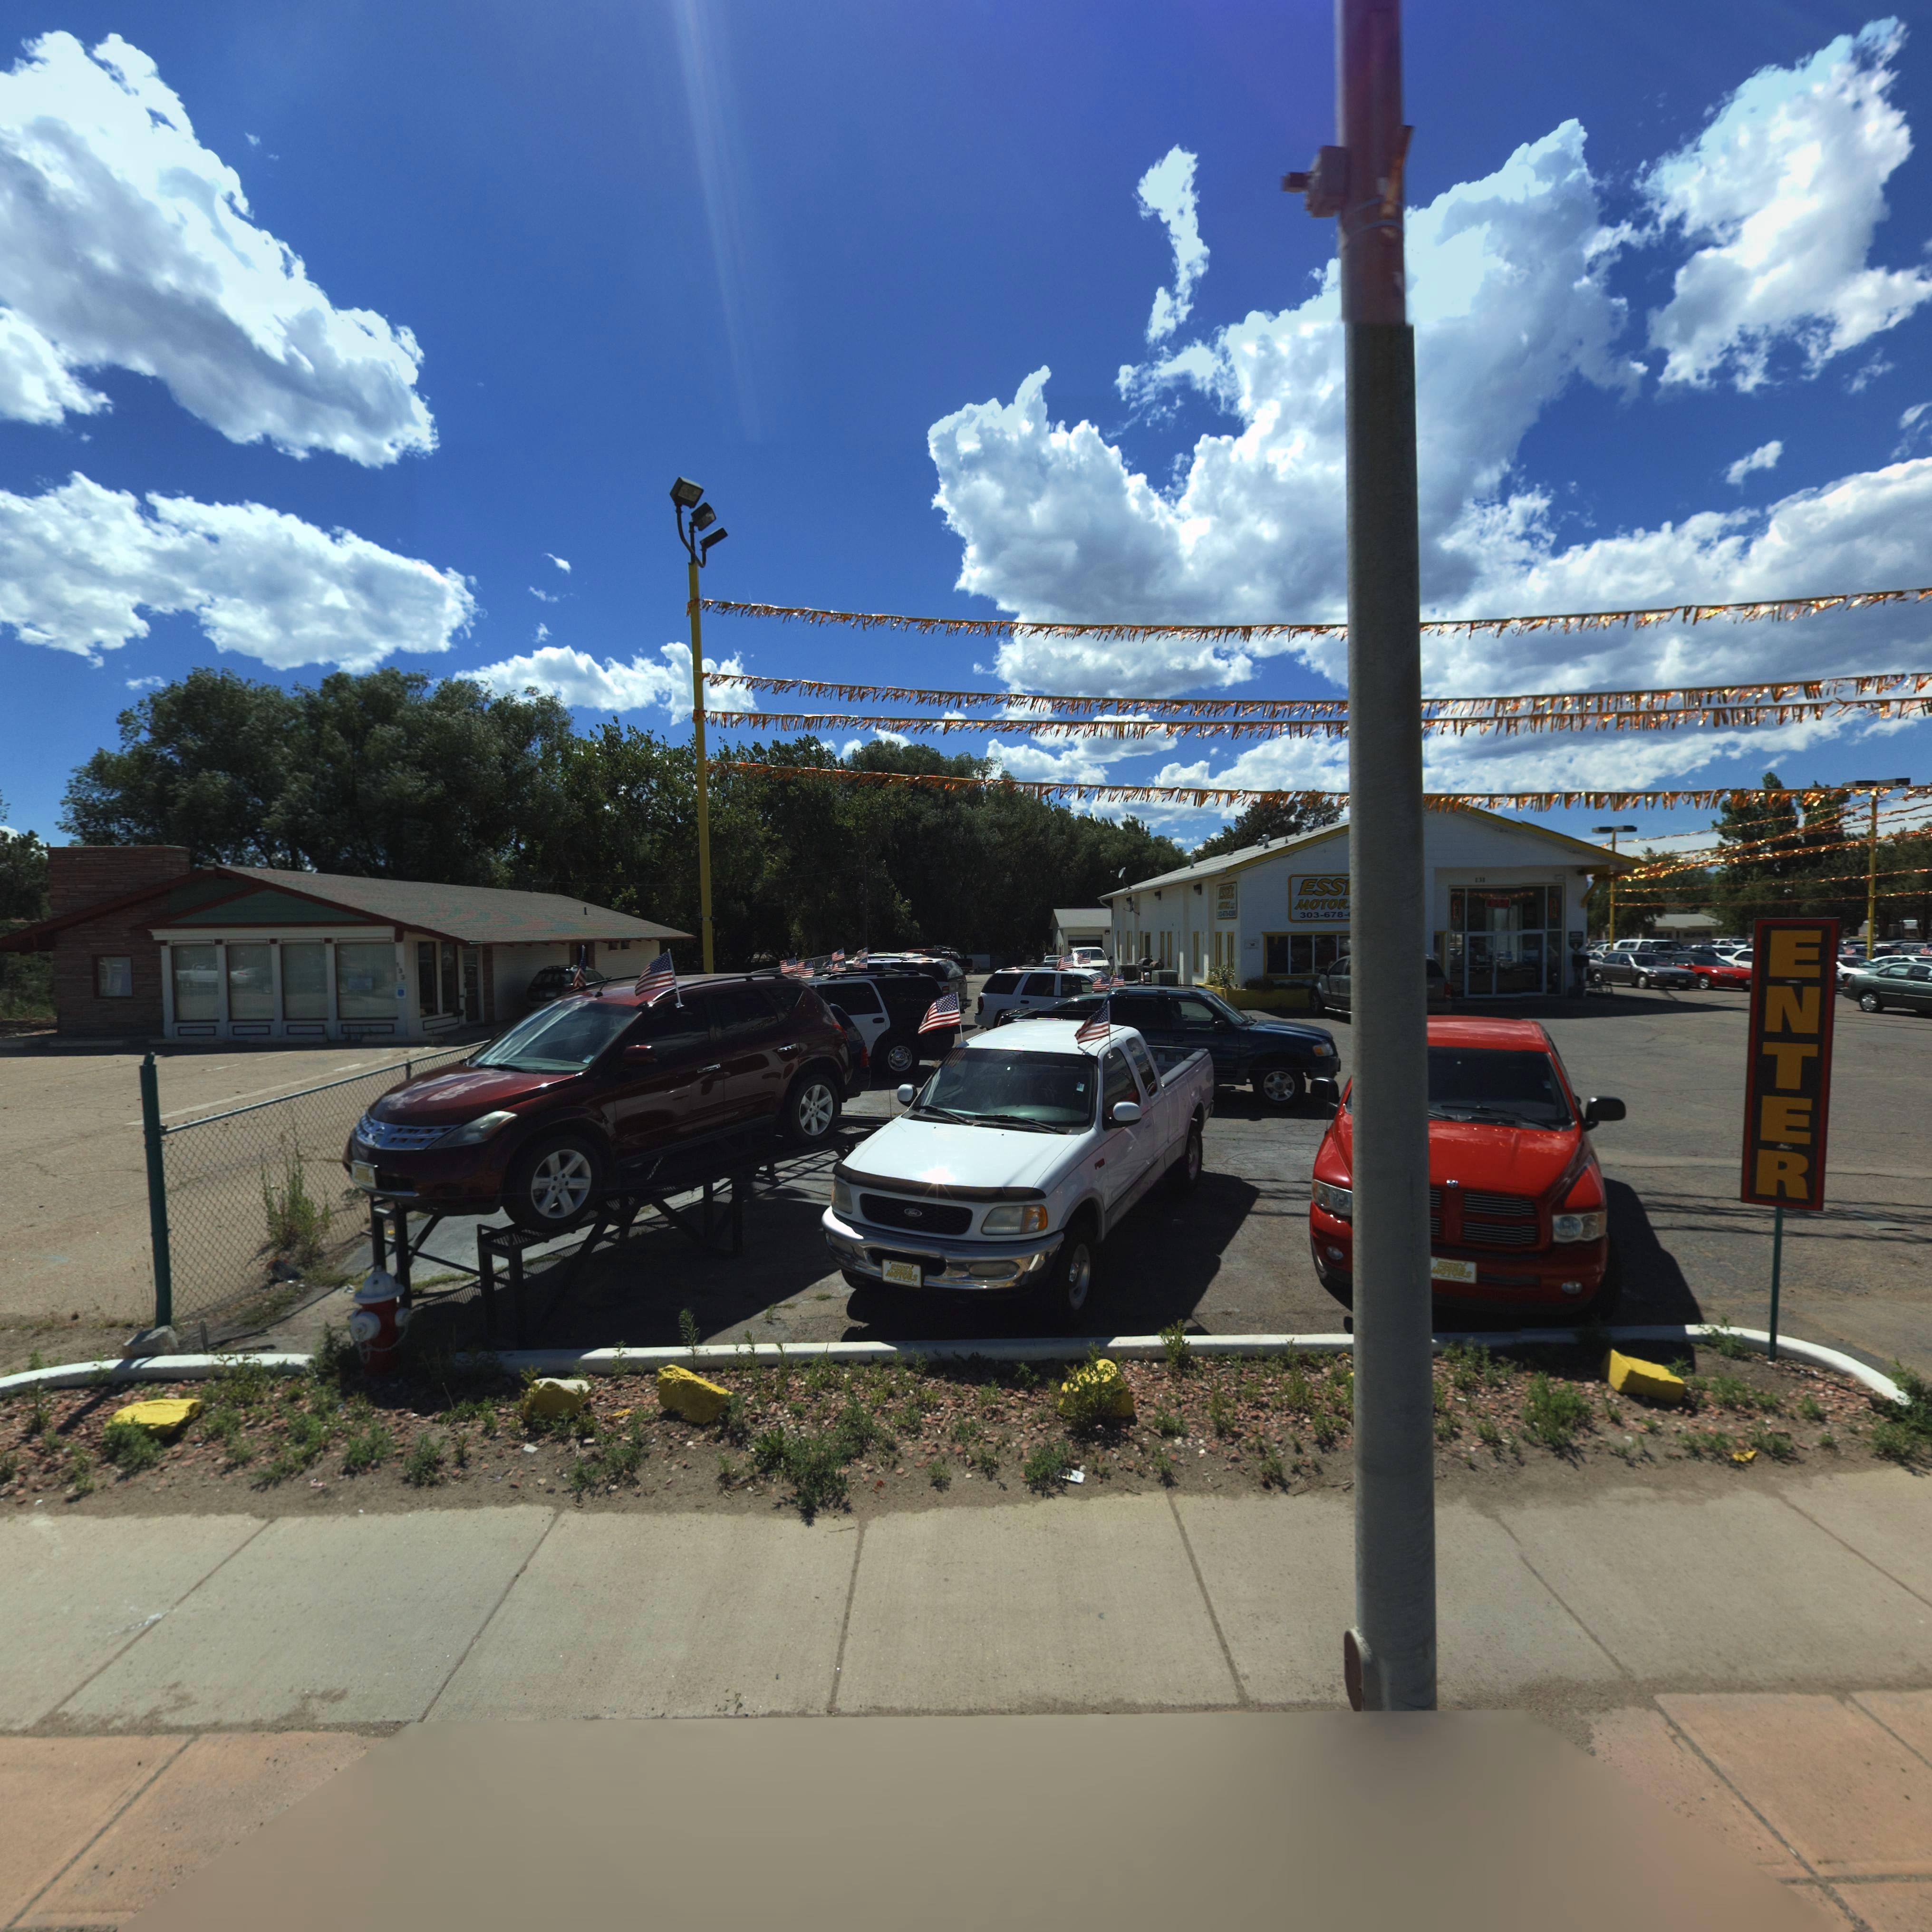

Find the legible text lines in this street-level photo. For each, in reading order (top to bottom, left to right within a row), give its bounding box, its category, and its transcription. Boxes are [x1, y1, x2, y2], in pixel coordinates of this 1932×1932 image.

[1217, 884, 1235, 900] BusinessName: ESSEX
[1295, 877, 1346, 896] BusinessName: ESS
[1474, 876, 1486, 883] StreetNumber: 138
[1216, 900, 1231, 910] BusinessName: MOTORS
[1293, 897, 1347, 910] BusinessName: MOTORS
[395, 959, 406, 981] StreetNumber: 133